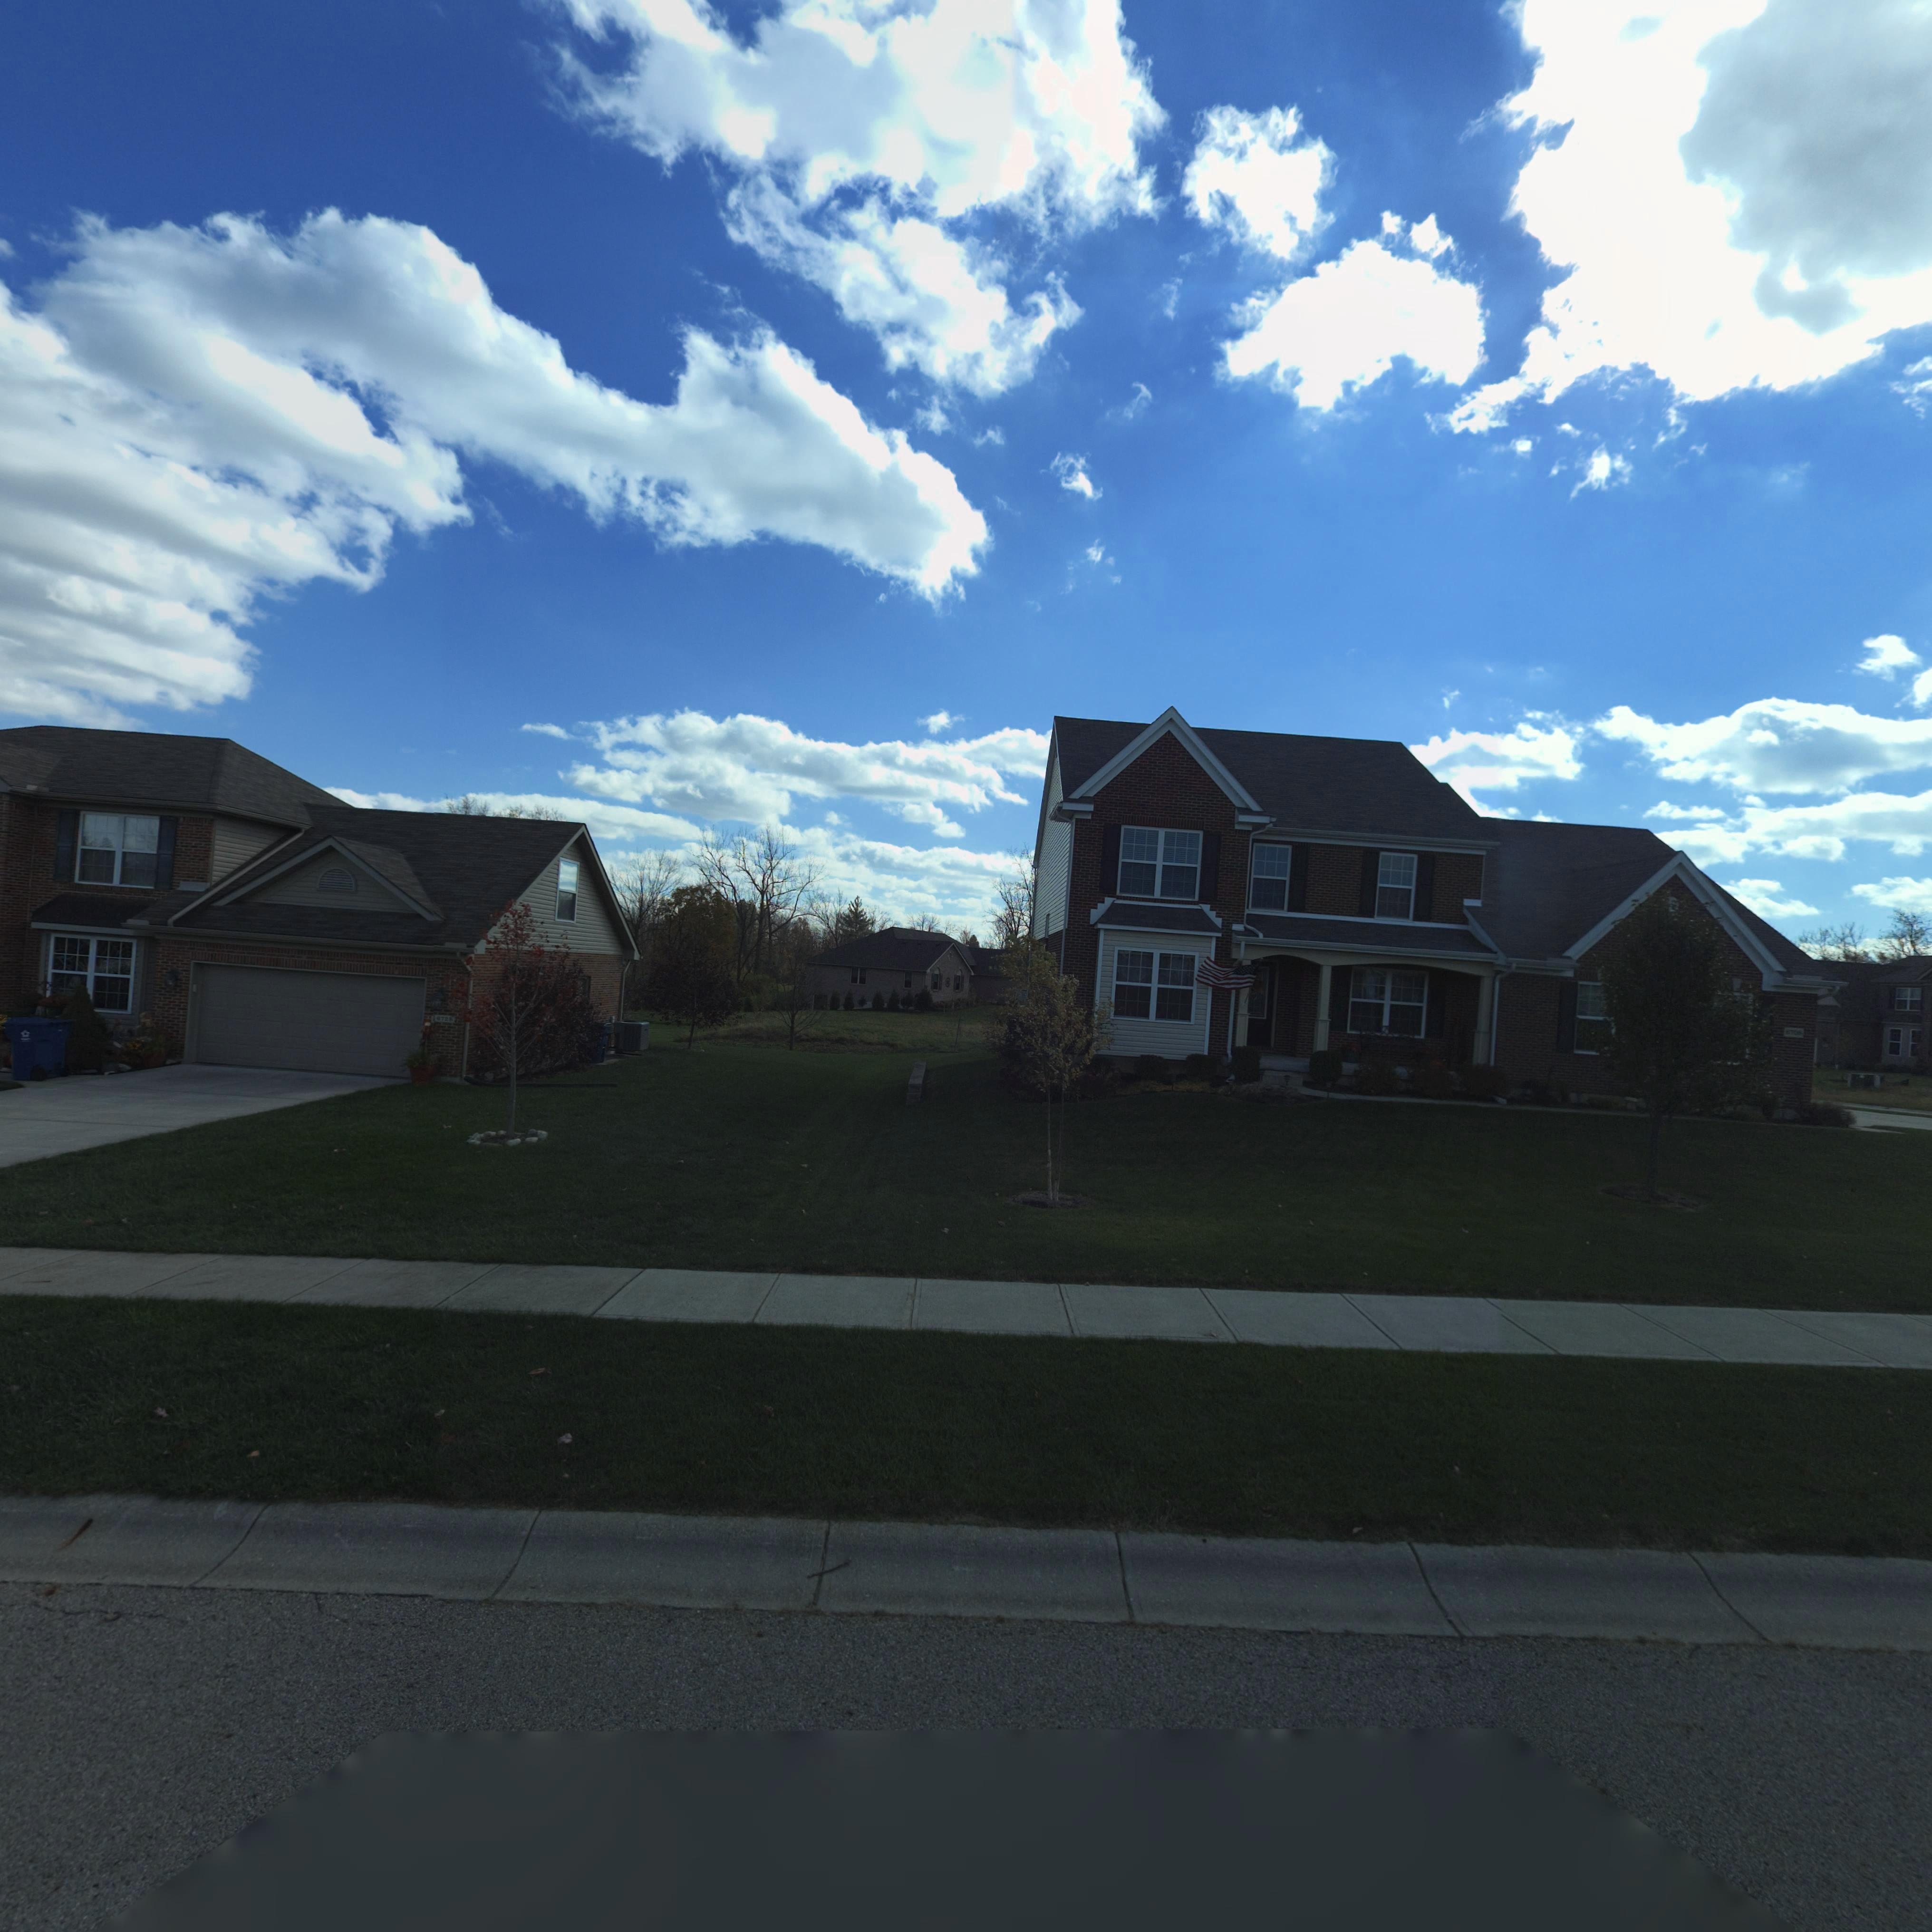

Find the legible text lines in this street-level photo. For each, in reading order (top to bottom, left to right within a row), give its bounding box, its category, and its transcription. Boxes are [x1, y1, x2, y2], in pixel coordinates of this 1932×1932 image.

[435, 1015, 454, 1022] StreetNumber: 6728
[1784, 1029, 1804, 1037] StreetNumber: 6708